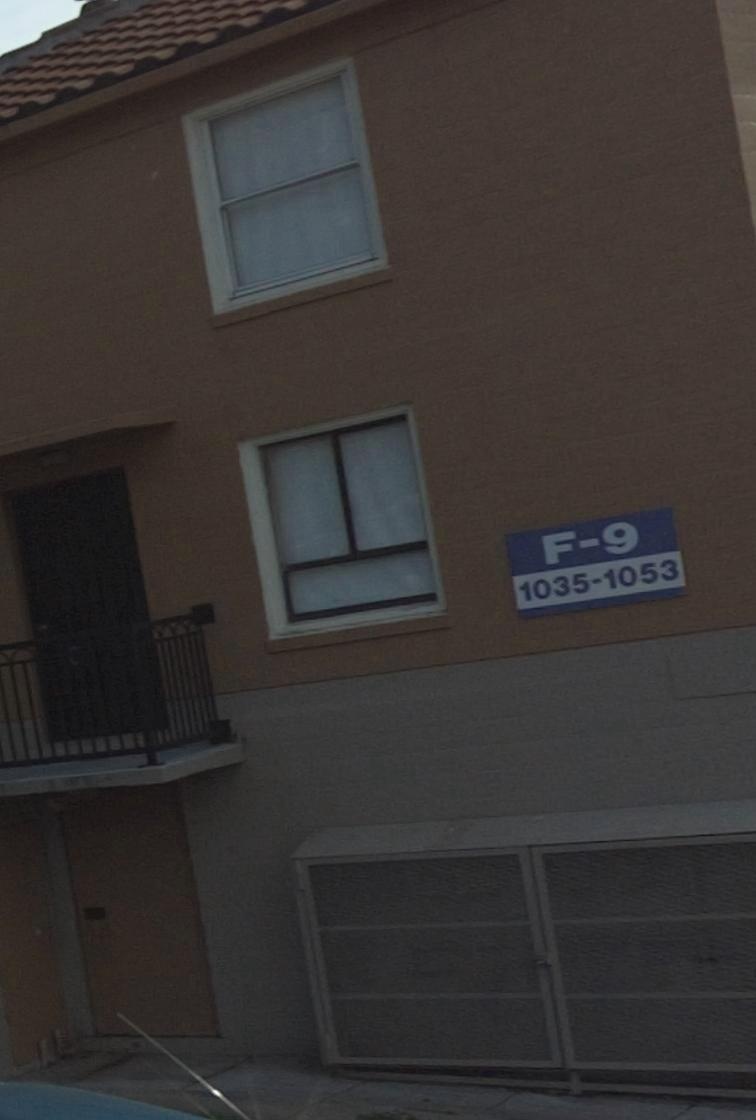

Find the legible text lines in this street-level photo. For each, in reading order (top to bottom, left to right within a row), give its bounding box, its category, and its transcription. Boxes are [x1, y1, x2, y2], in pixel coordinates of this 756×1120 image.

[541, 517, 642, 569] None: F-9
[518, 568, 593, 604] StreetNumber: 1035
[600, 557, 682, 591] StreetNumber: 1053